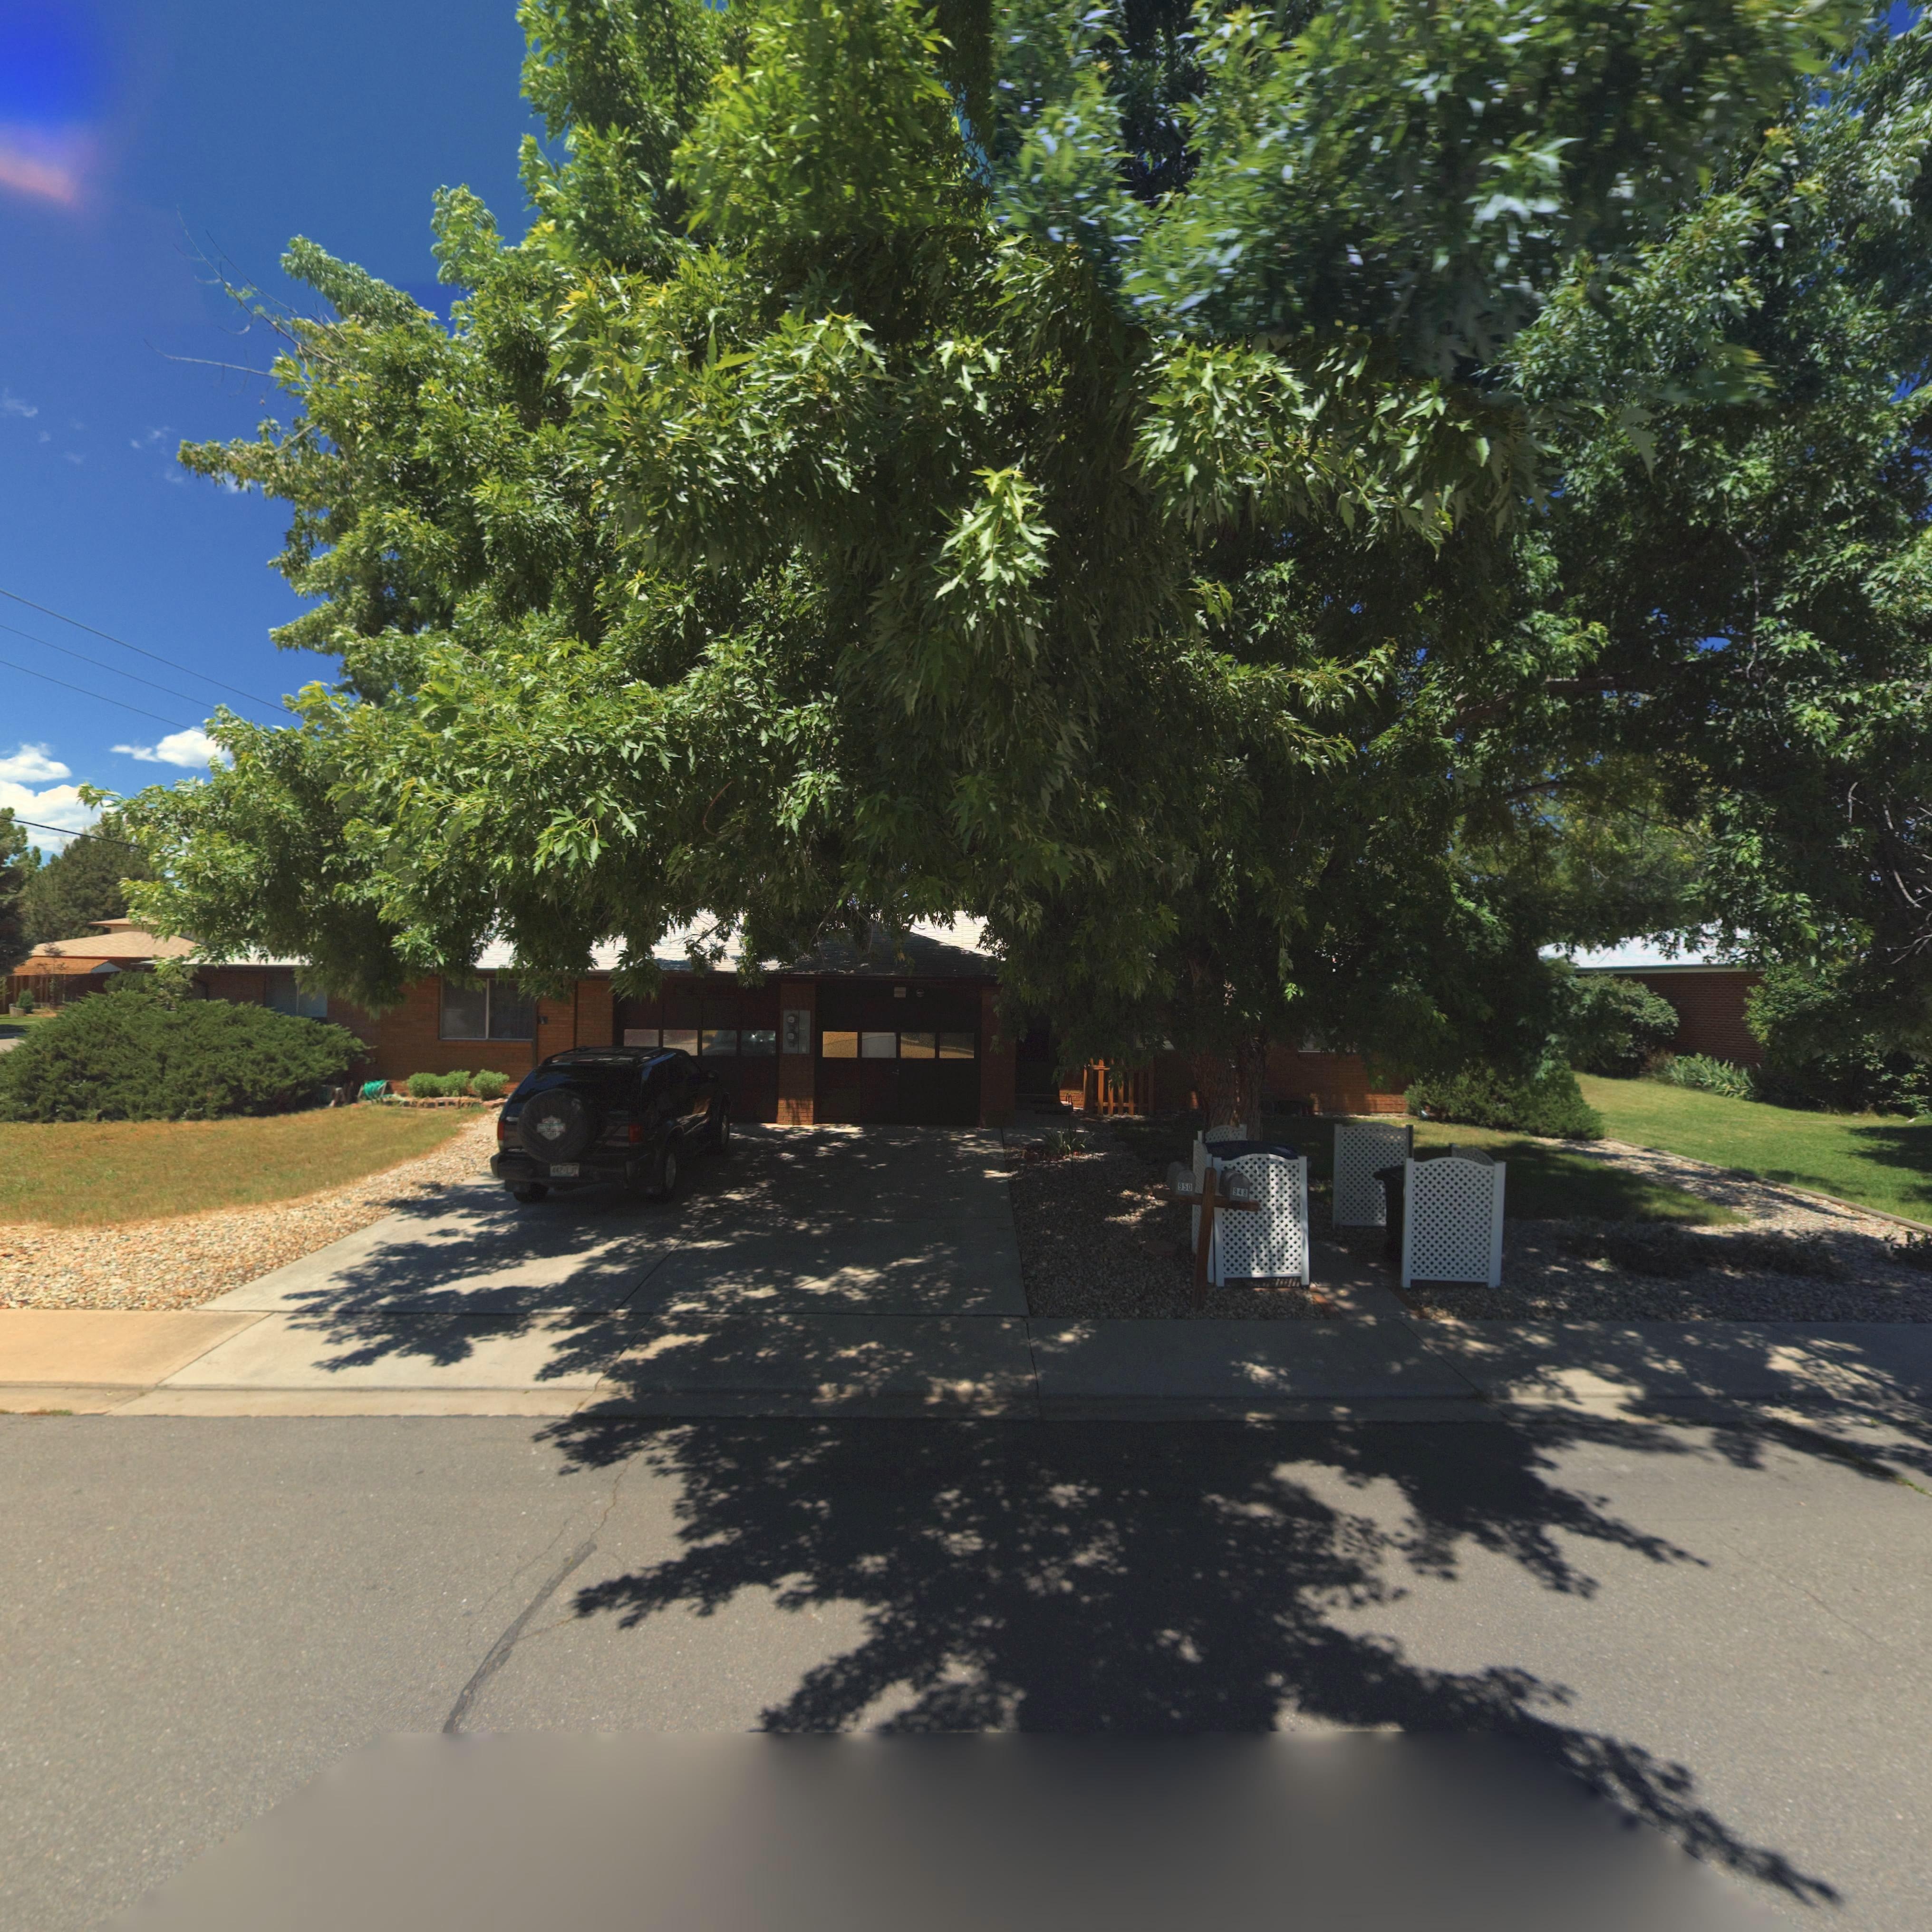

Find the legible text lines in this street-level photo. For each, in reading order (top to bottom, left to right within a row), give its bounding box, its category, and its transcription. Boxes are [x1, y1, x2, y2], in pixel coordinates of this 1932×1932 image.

[1178, 1182, 1191, 1190] StreetNumber: 950
[1233, 1188, 1246, 1197] StreetNumber: 948